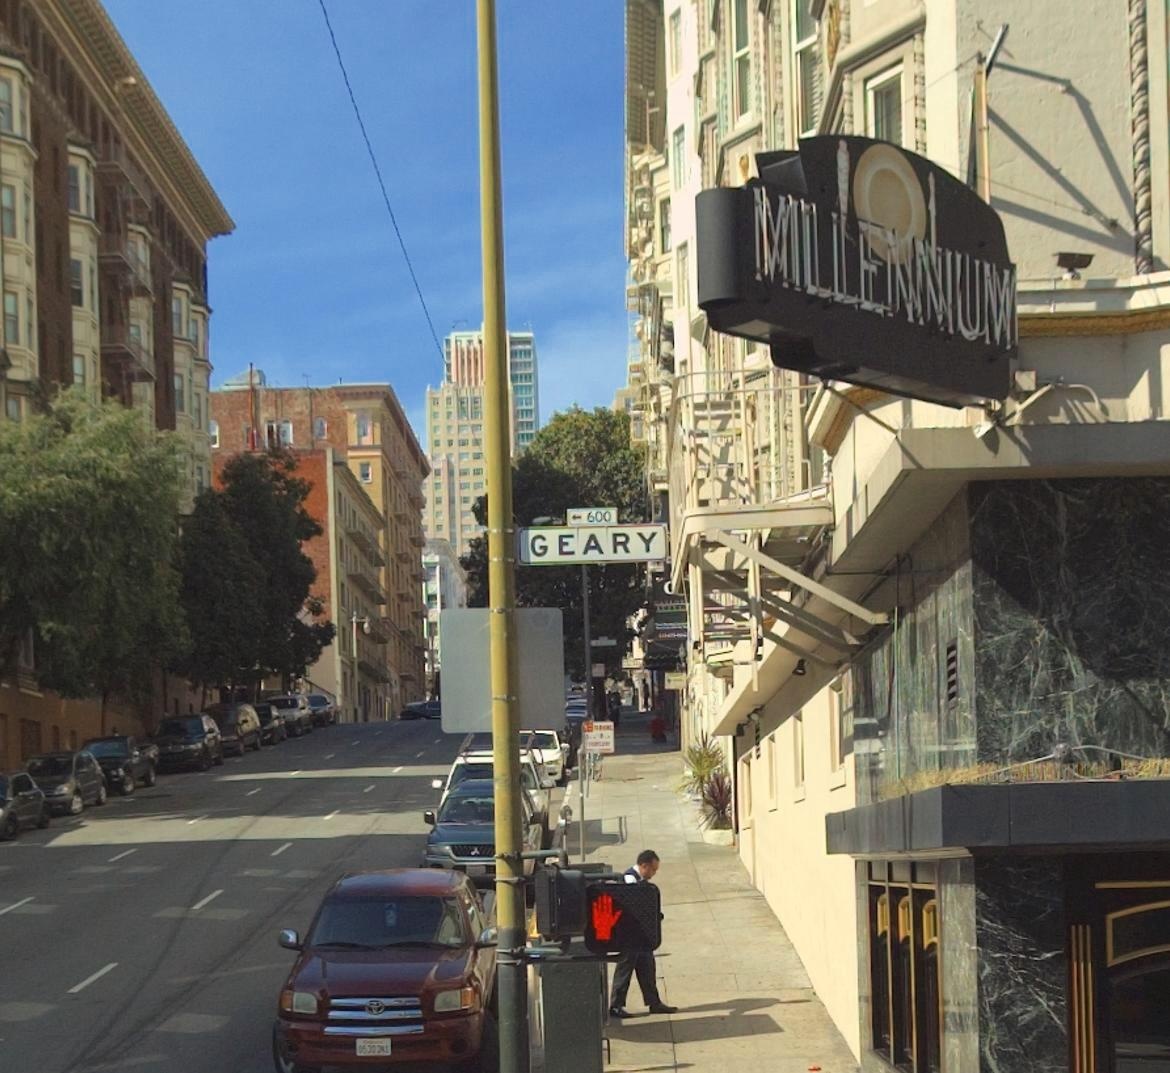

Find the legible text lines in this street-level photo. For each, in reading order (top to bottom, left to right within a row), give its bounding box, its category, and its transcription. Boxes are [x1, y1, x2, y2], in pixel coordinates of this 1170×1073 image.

[753, 178, 1021, 352] BusinessName: MILLENNIUM
[569, 508, 613, 525] StreetNumberRange: <-600
[527, 528, 661, 559] StreetName: GEARY
[356, 1042, 391, 1056] None: *630**1